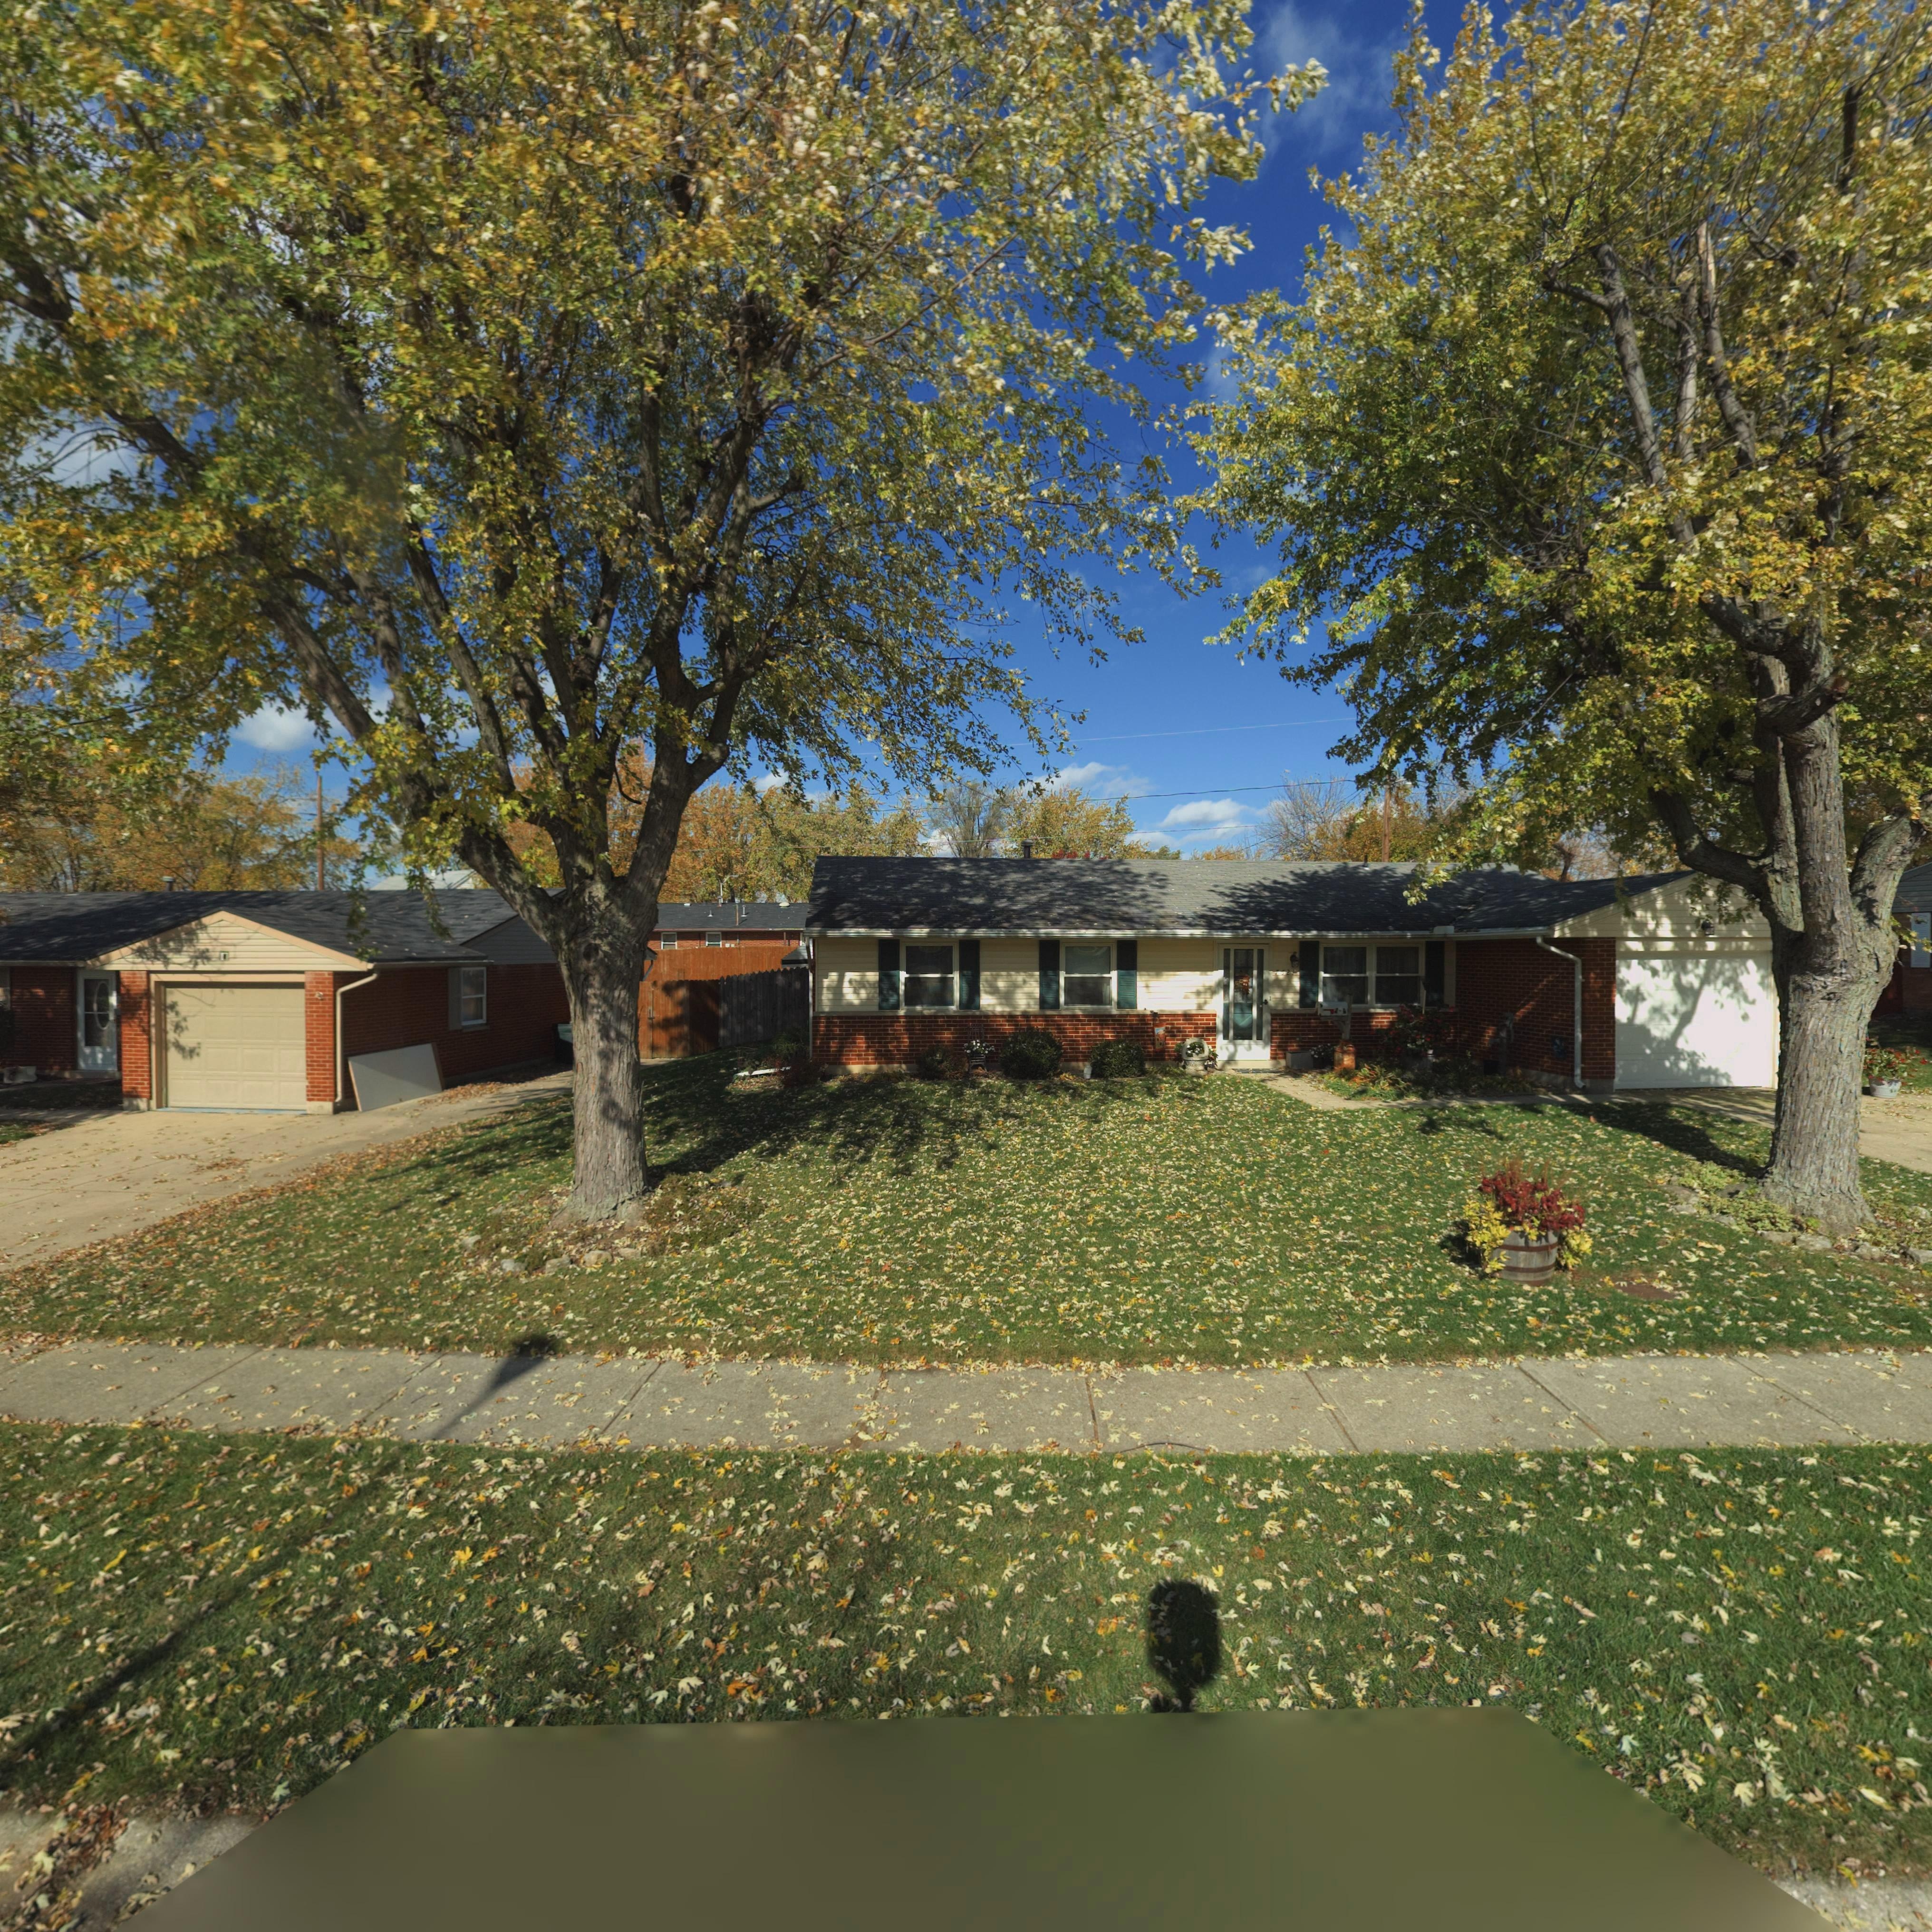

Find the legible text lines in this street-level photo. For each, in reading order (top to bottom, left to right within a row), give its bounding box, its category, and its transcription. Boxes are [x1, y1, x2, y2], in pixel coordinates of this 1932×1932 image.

[1275, 969, 1295, 976] StreetNumber: 7*21